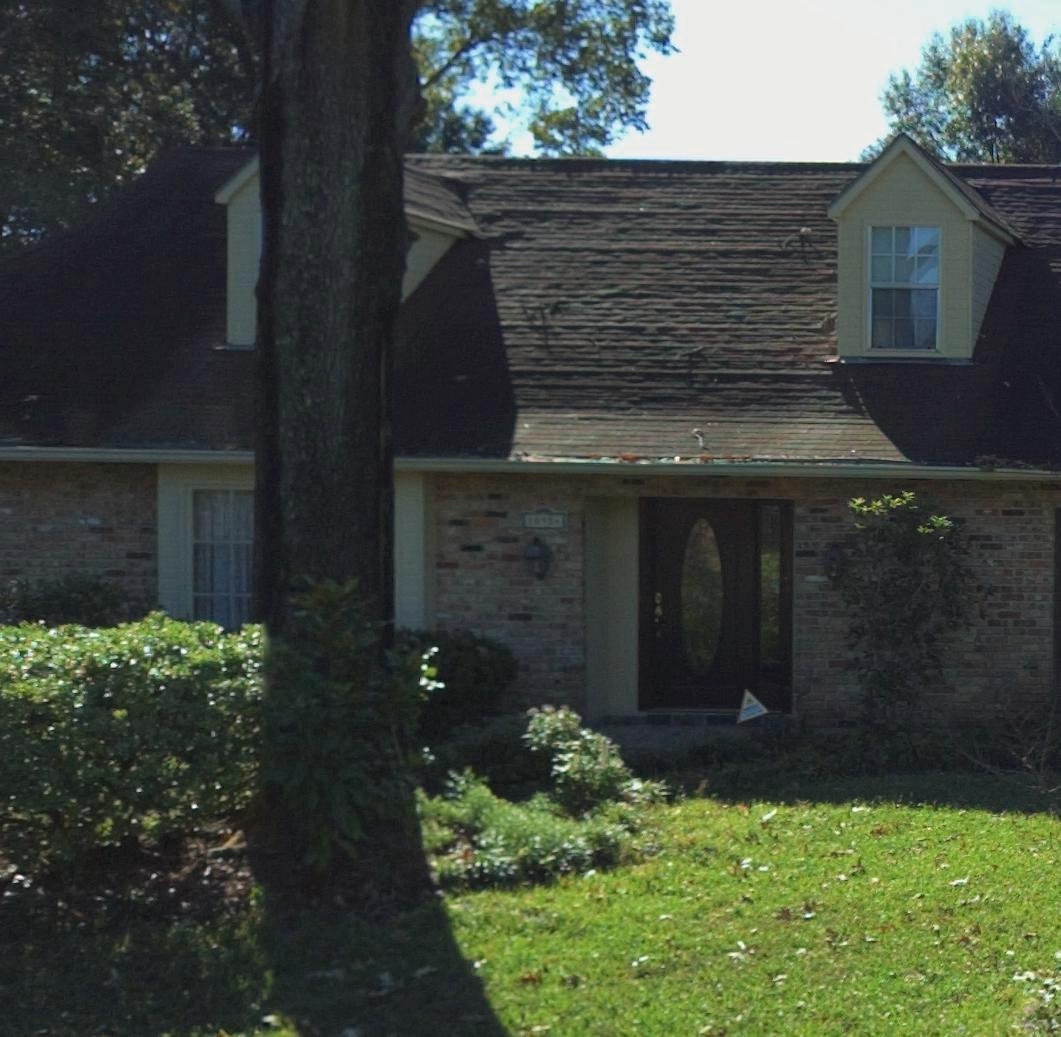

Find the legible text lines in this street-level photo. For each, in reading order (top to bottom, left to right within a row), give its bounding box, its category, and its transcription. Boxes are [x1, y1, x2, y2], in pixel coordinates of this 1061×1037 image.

[525, 514, 561, 529] StreetNumber: 10***